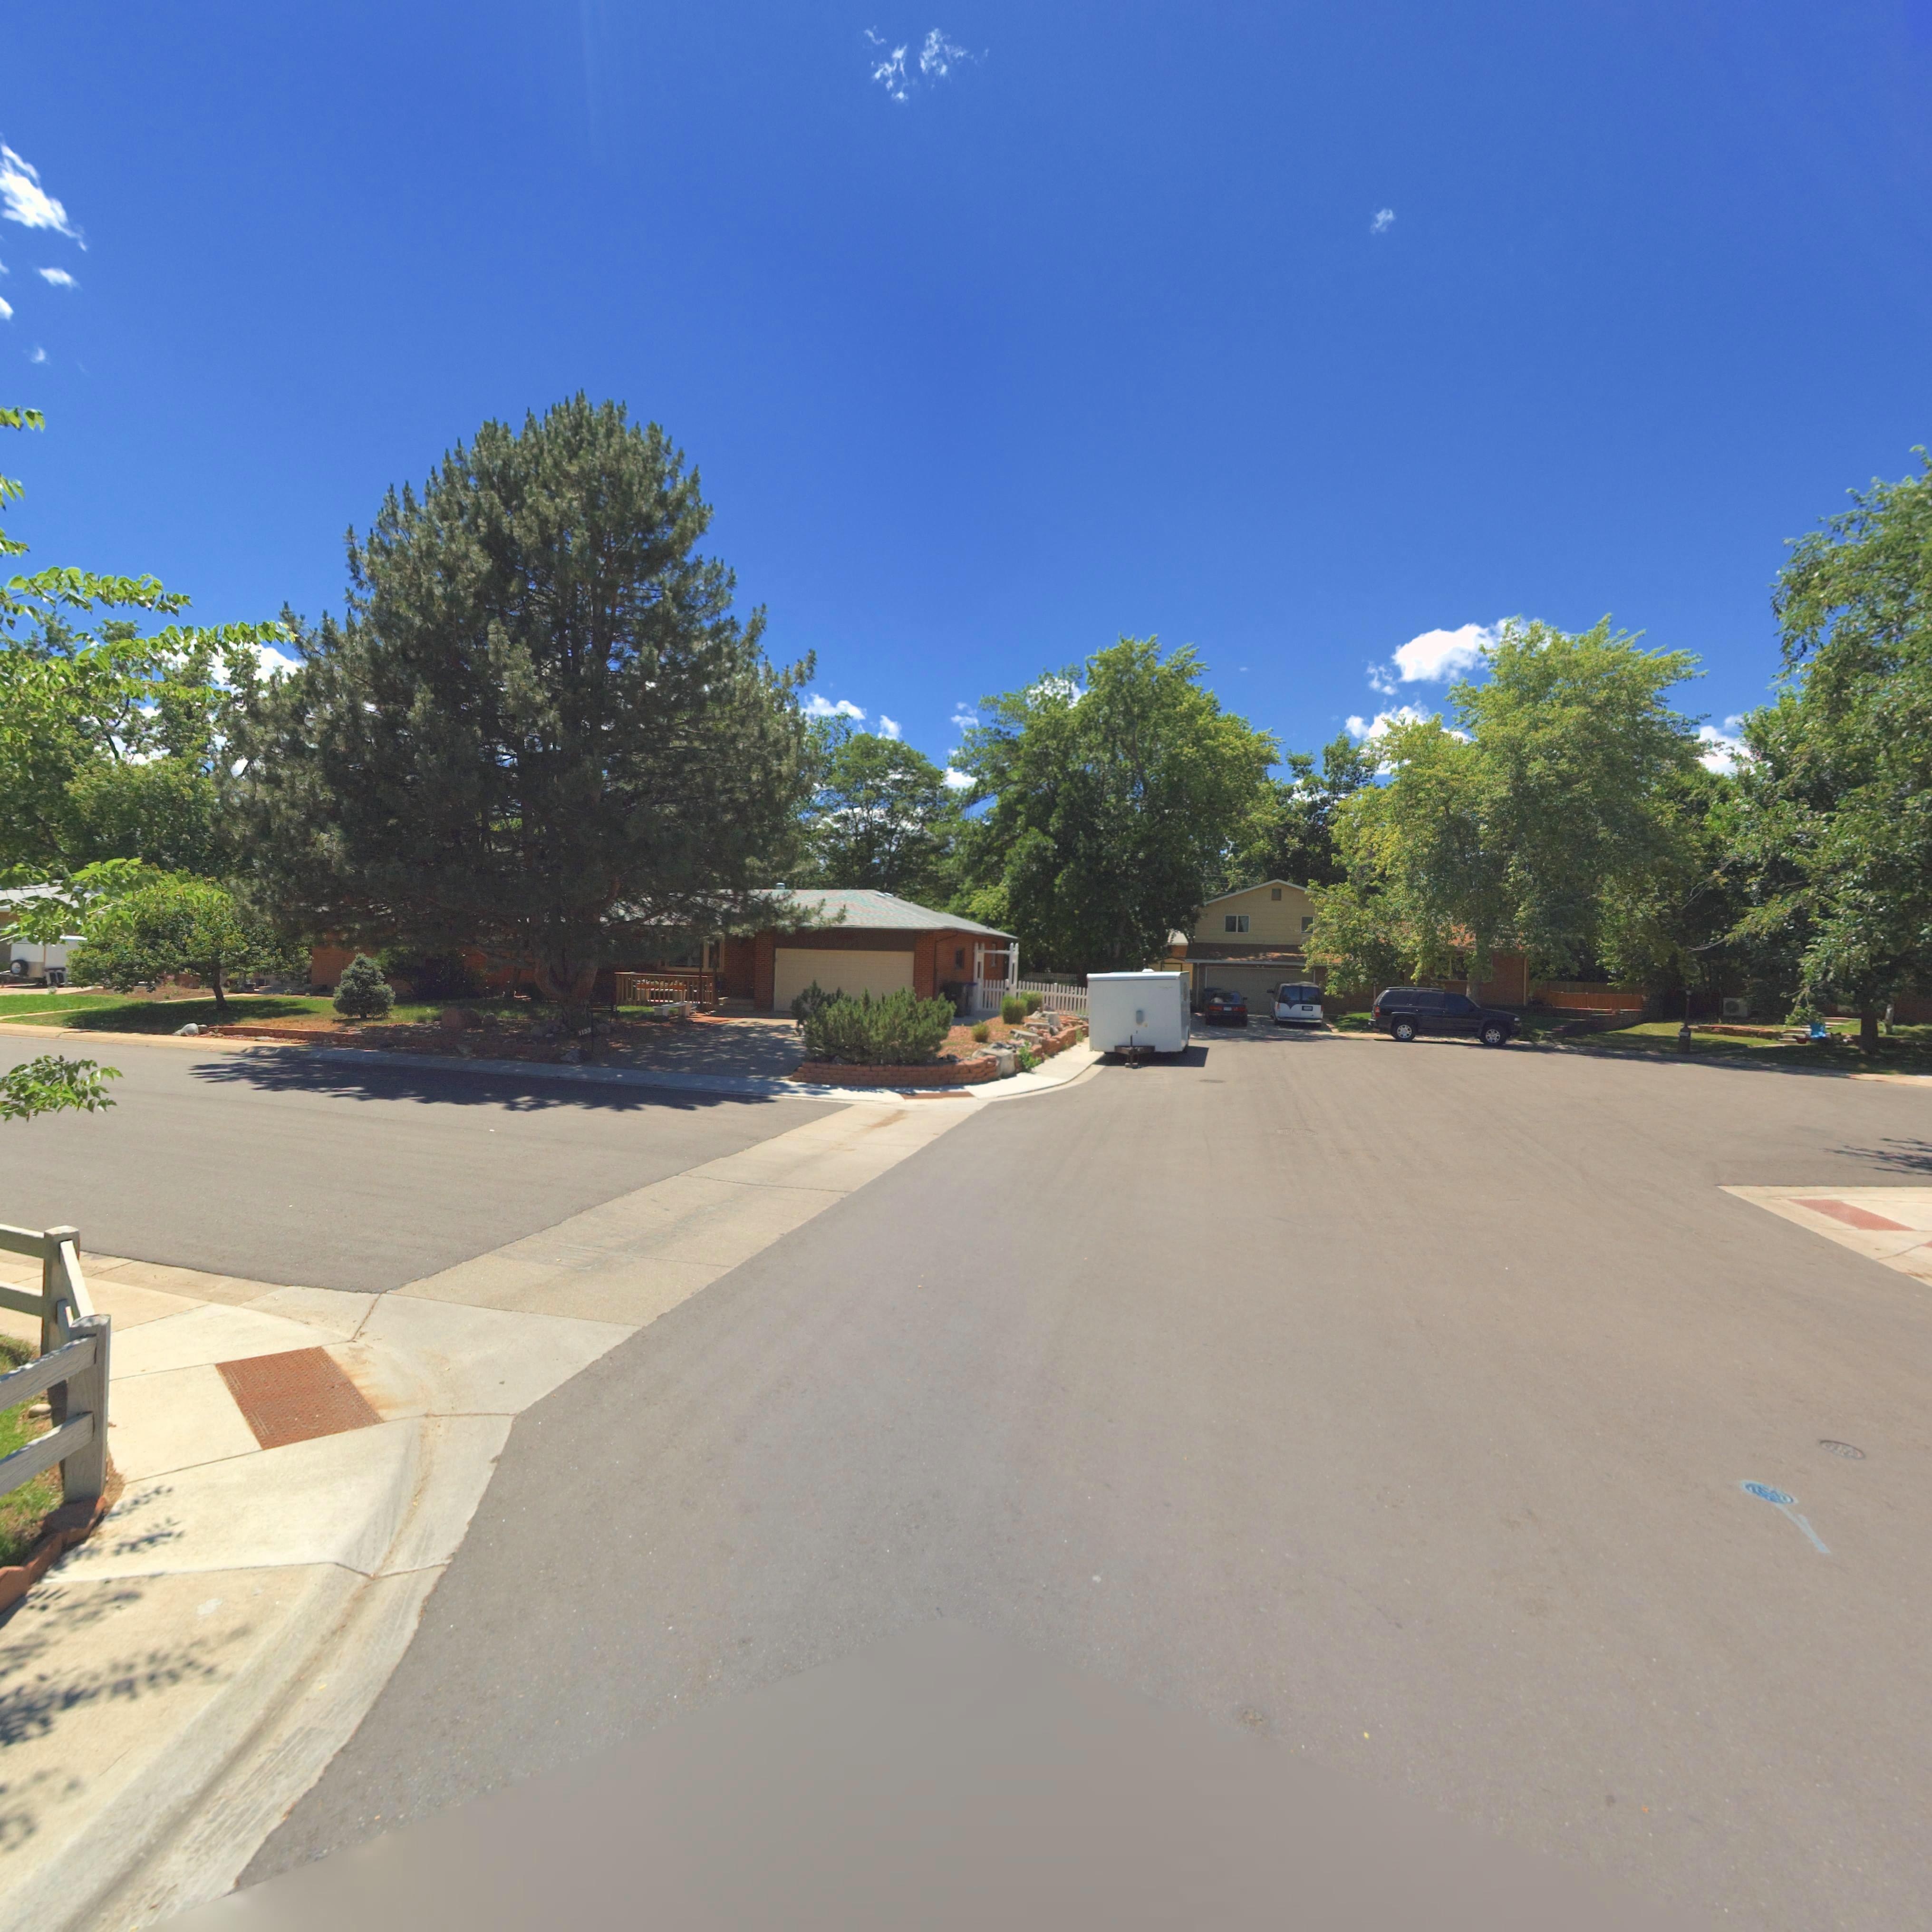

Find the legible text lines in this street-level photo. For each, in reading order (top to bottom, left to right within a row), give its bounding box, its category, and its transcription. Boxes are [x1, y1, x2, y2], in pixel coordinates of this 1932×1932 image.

[578, 1026, 591, 1036] StreetNumber: 1153